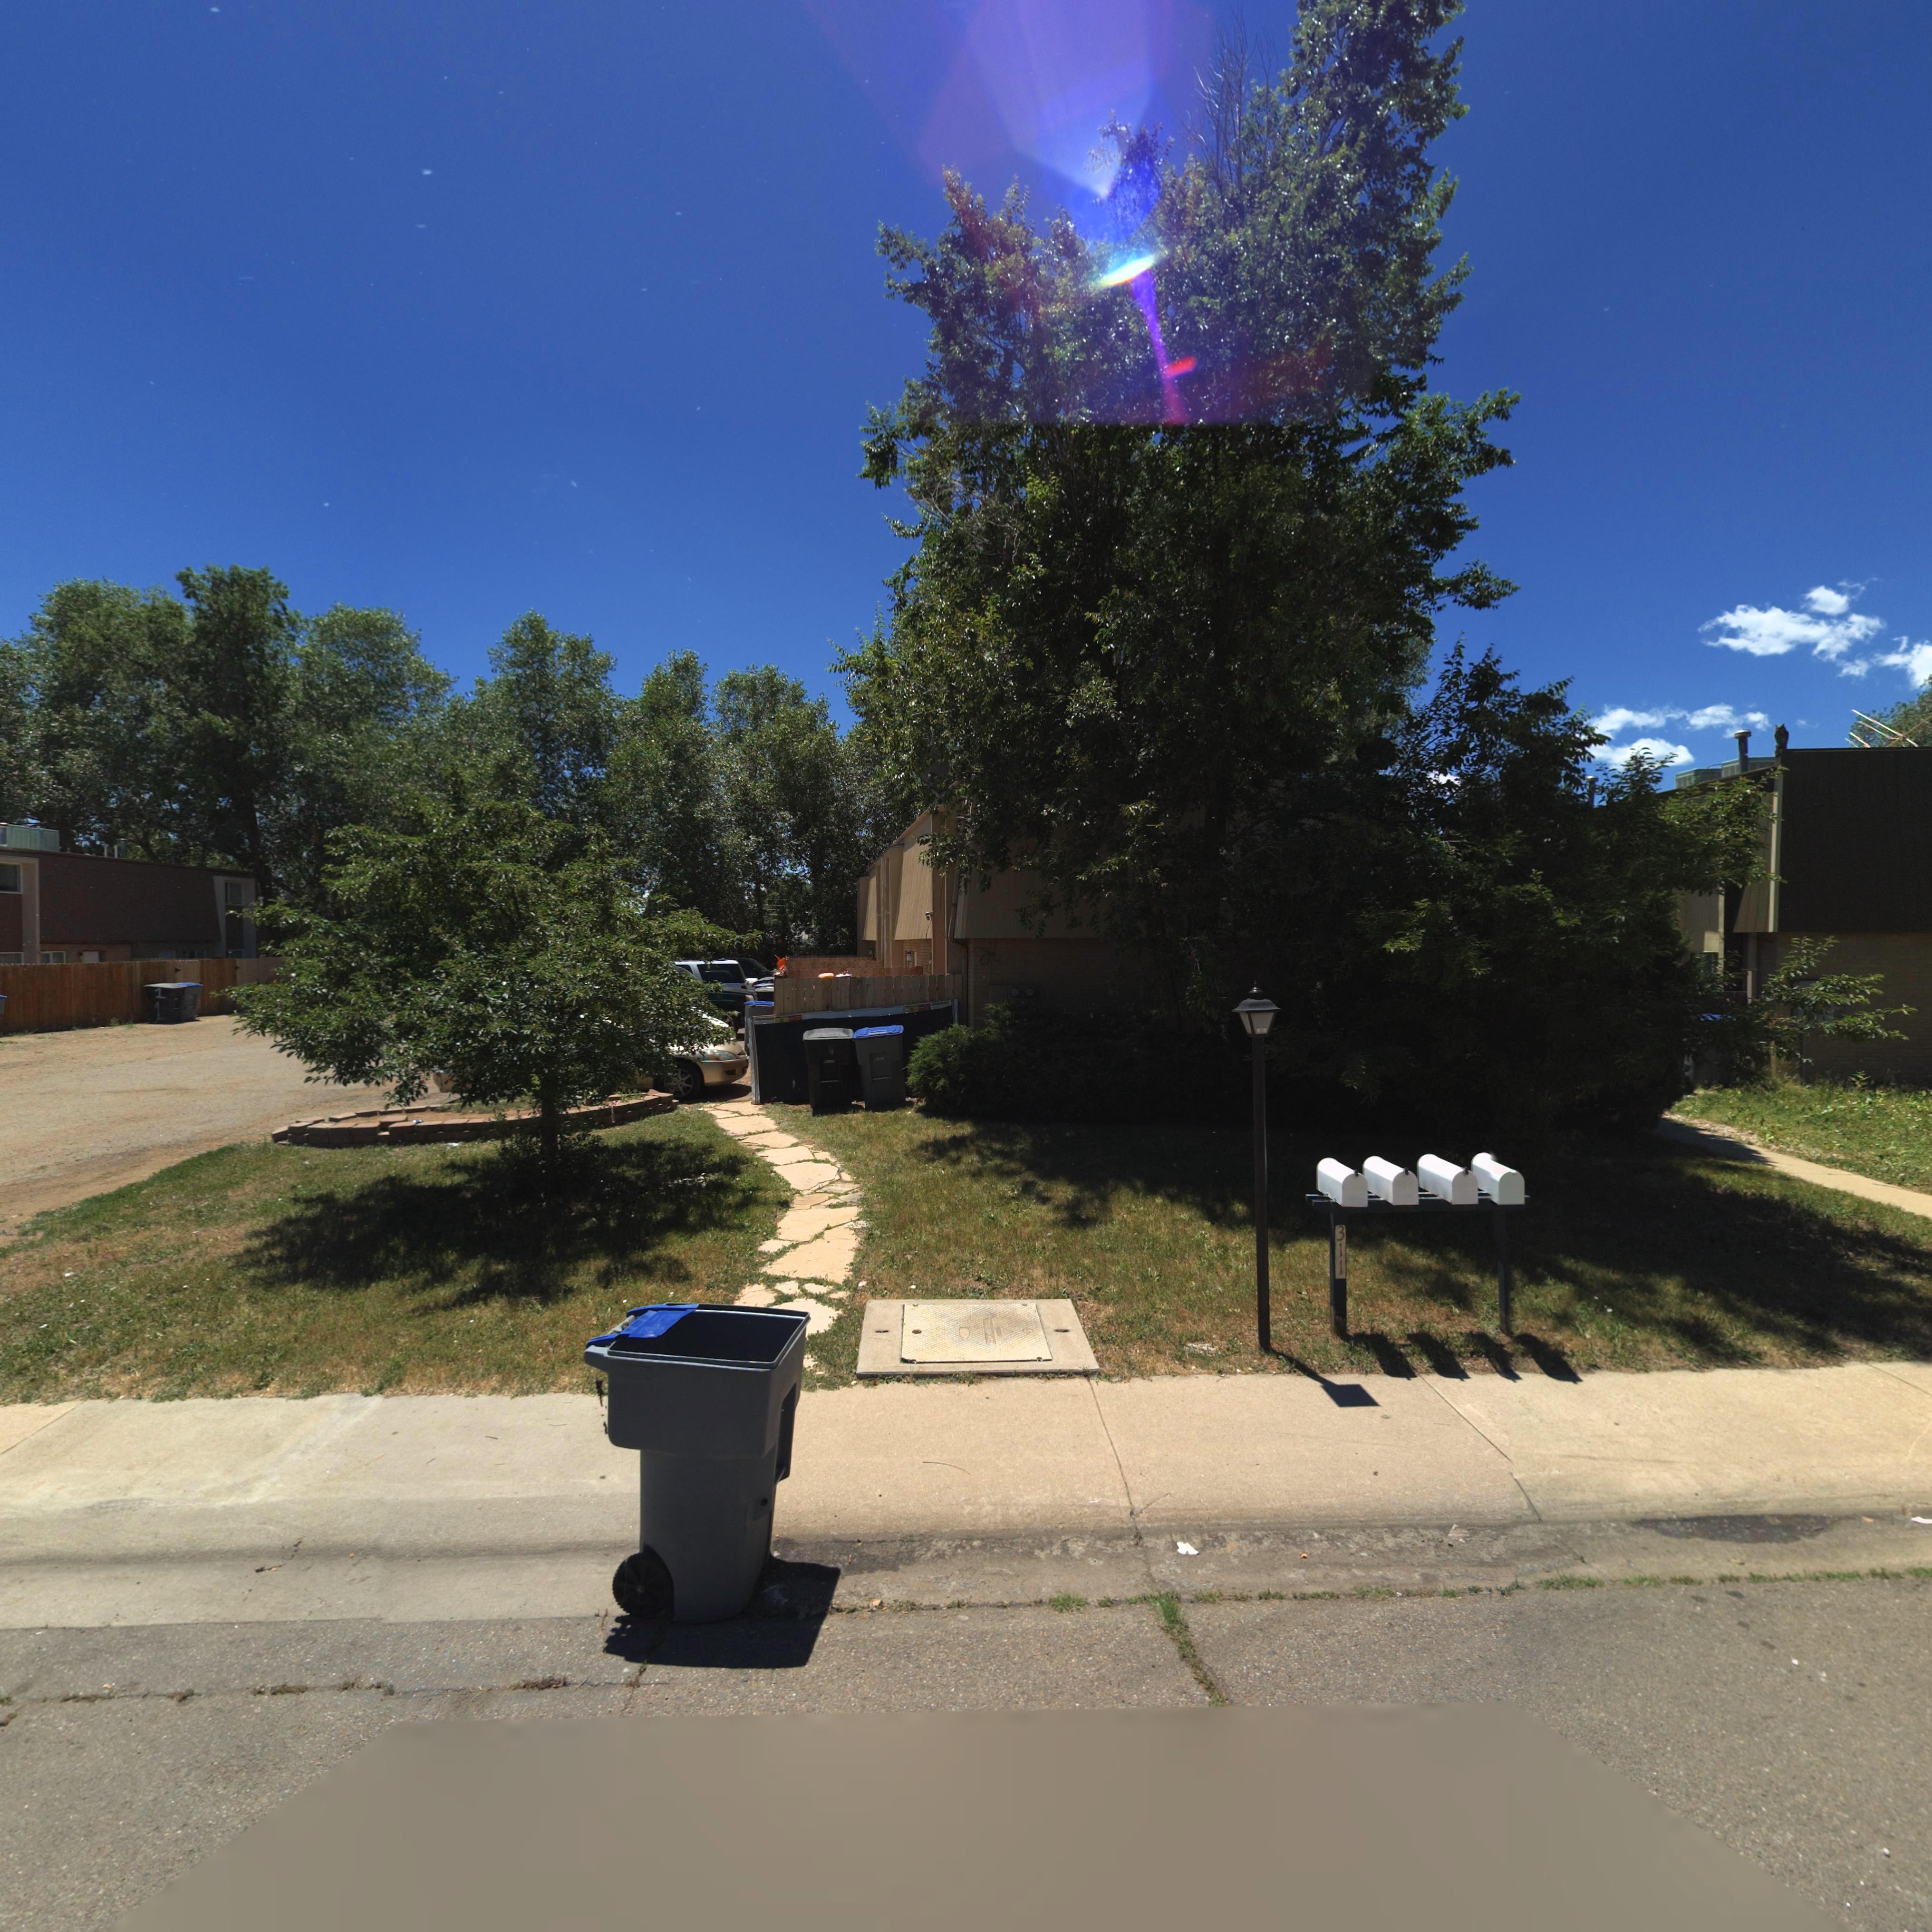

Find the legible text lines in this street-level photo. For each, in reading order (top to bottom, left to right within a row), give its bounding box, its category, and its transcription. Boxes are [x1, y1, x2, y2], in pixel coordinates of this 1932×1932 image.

[1335, 1225, 1345, 1277] StreetNumber: 311